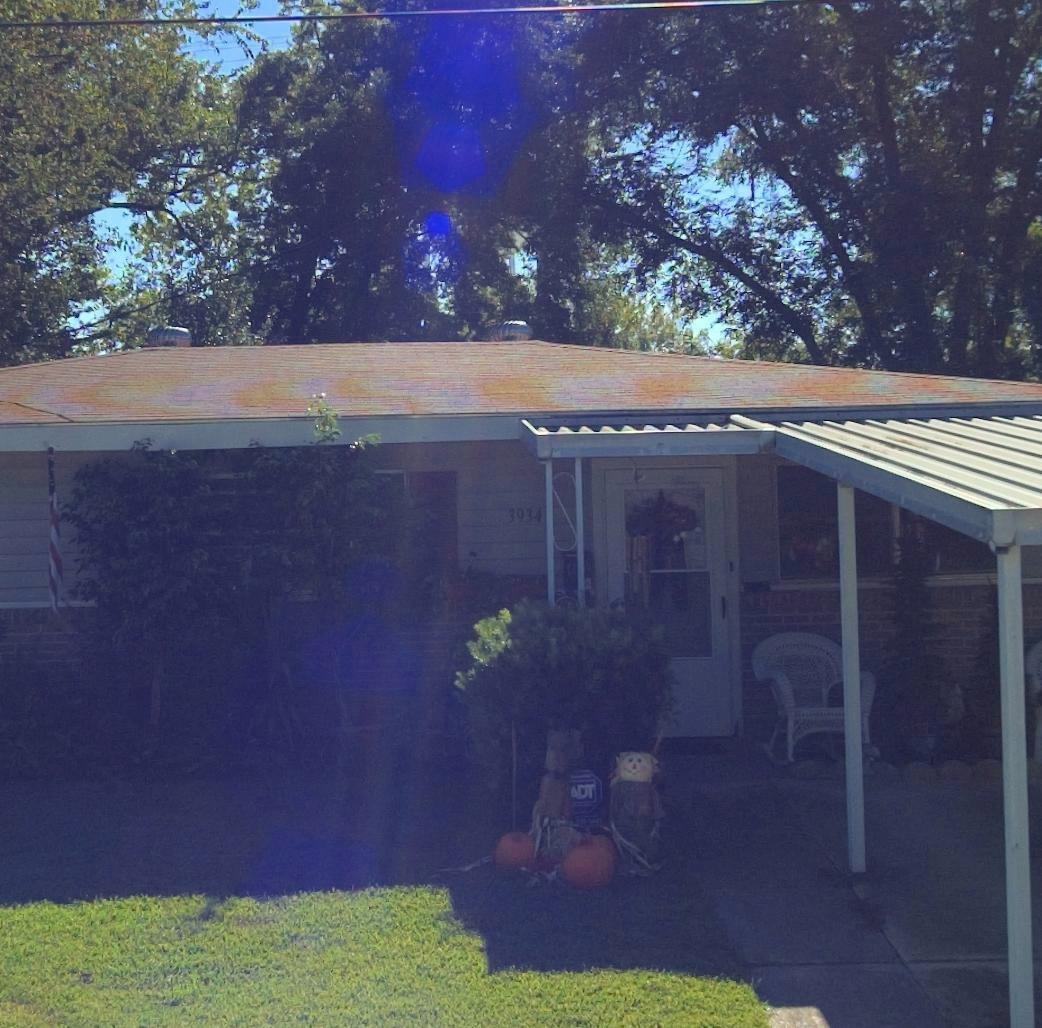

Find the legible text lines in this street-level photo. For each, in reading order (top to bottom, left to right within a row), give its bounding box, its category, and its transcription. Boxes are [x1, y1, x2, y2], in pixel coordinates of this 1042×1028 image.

[504, 504, 546, 526] StreetNumber: 3934
[575, 782, 598, 801] None: DT